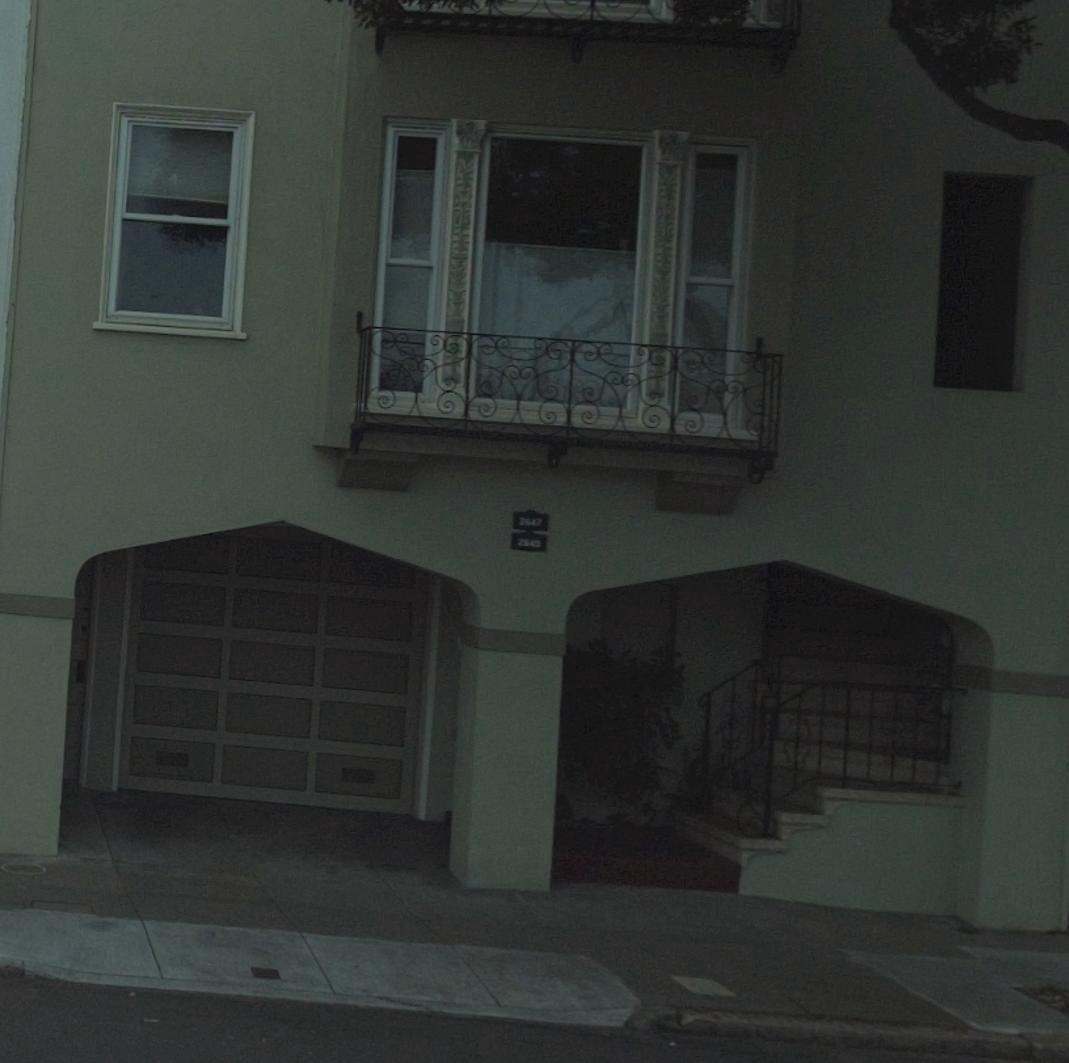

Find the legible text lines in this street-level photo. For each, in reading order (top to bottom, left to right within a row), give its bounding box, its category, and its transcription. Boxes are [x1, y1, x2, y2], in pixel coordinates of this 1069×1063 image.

[517, 516, 543, 527] StreetNumber: 2647
[515, 536, 542, 548] StreetNumber: 2645